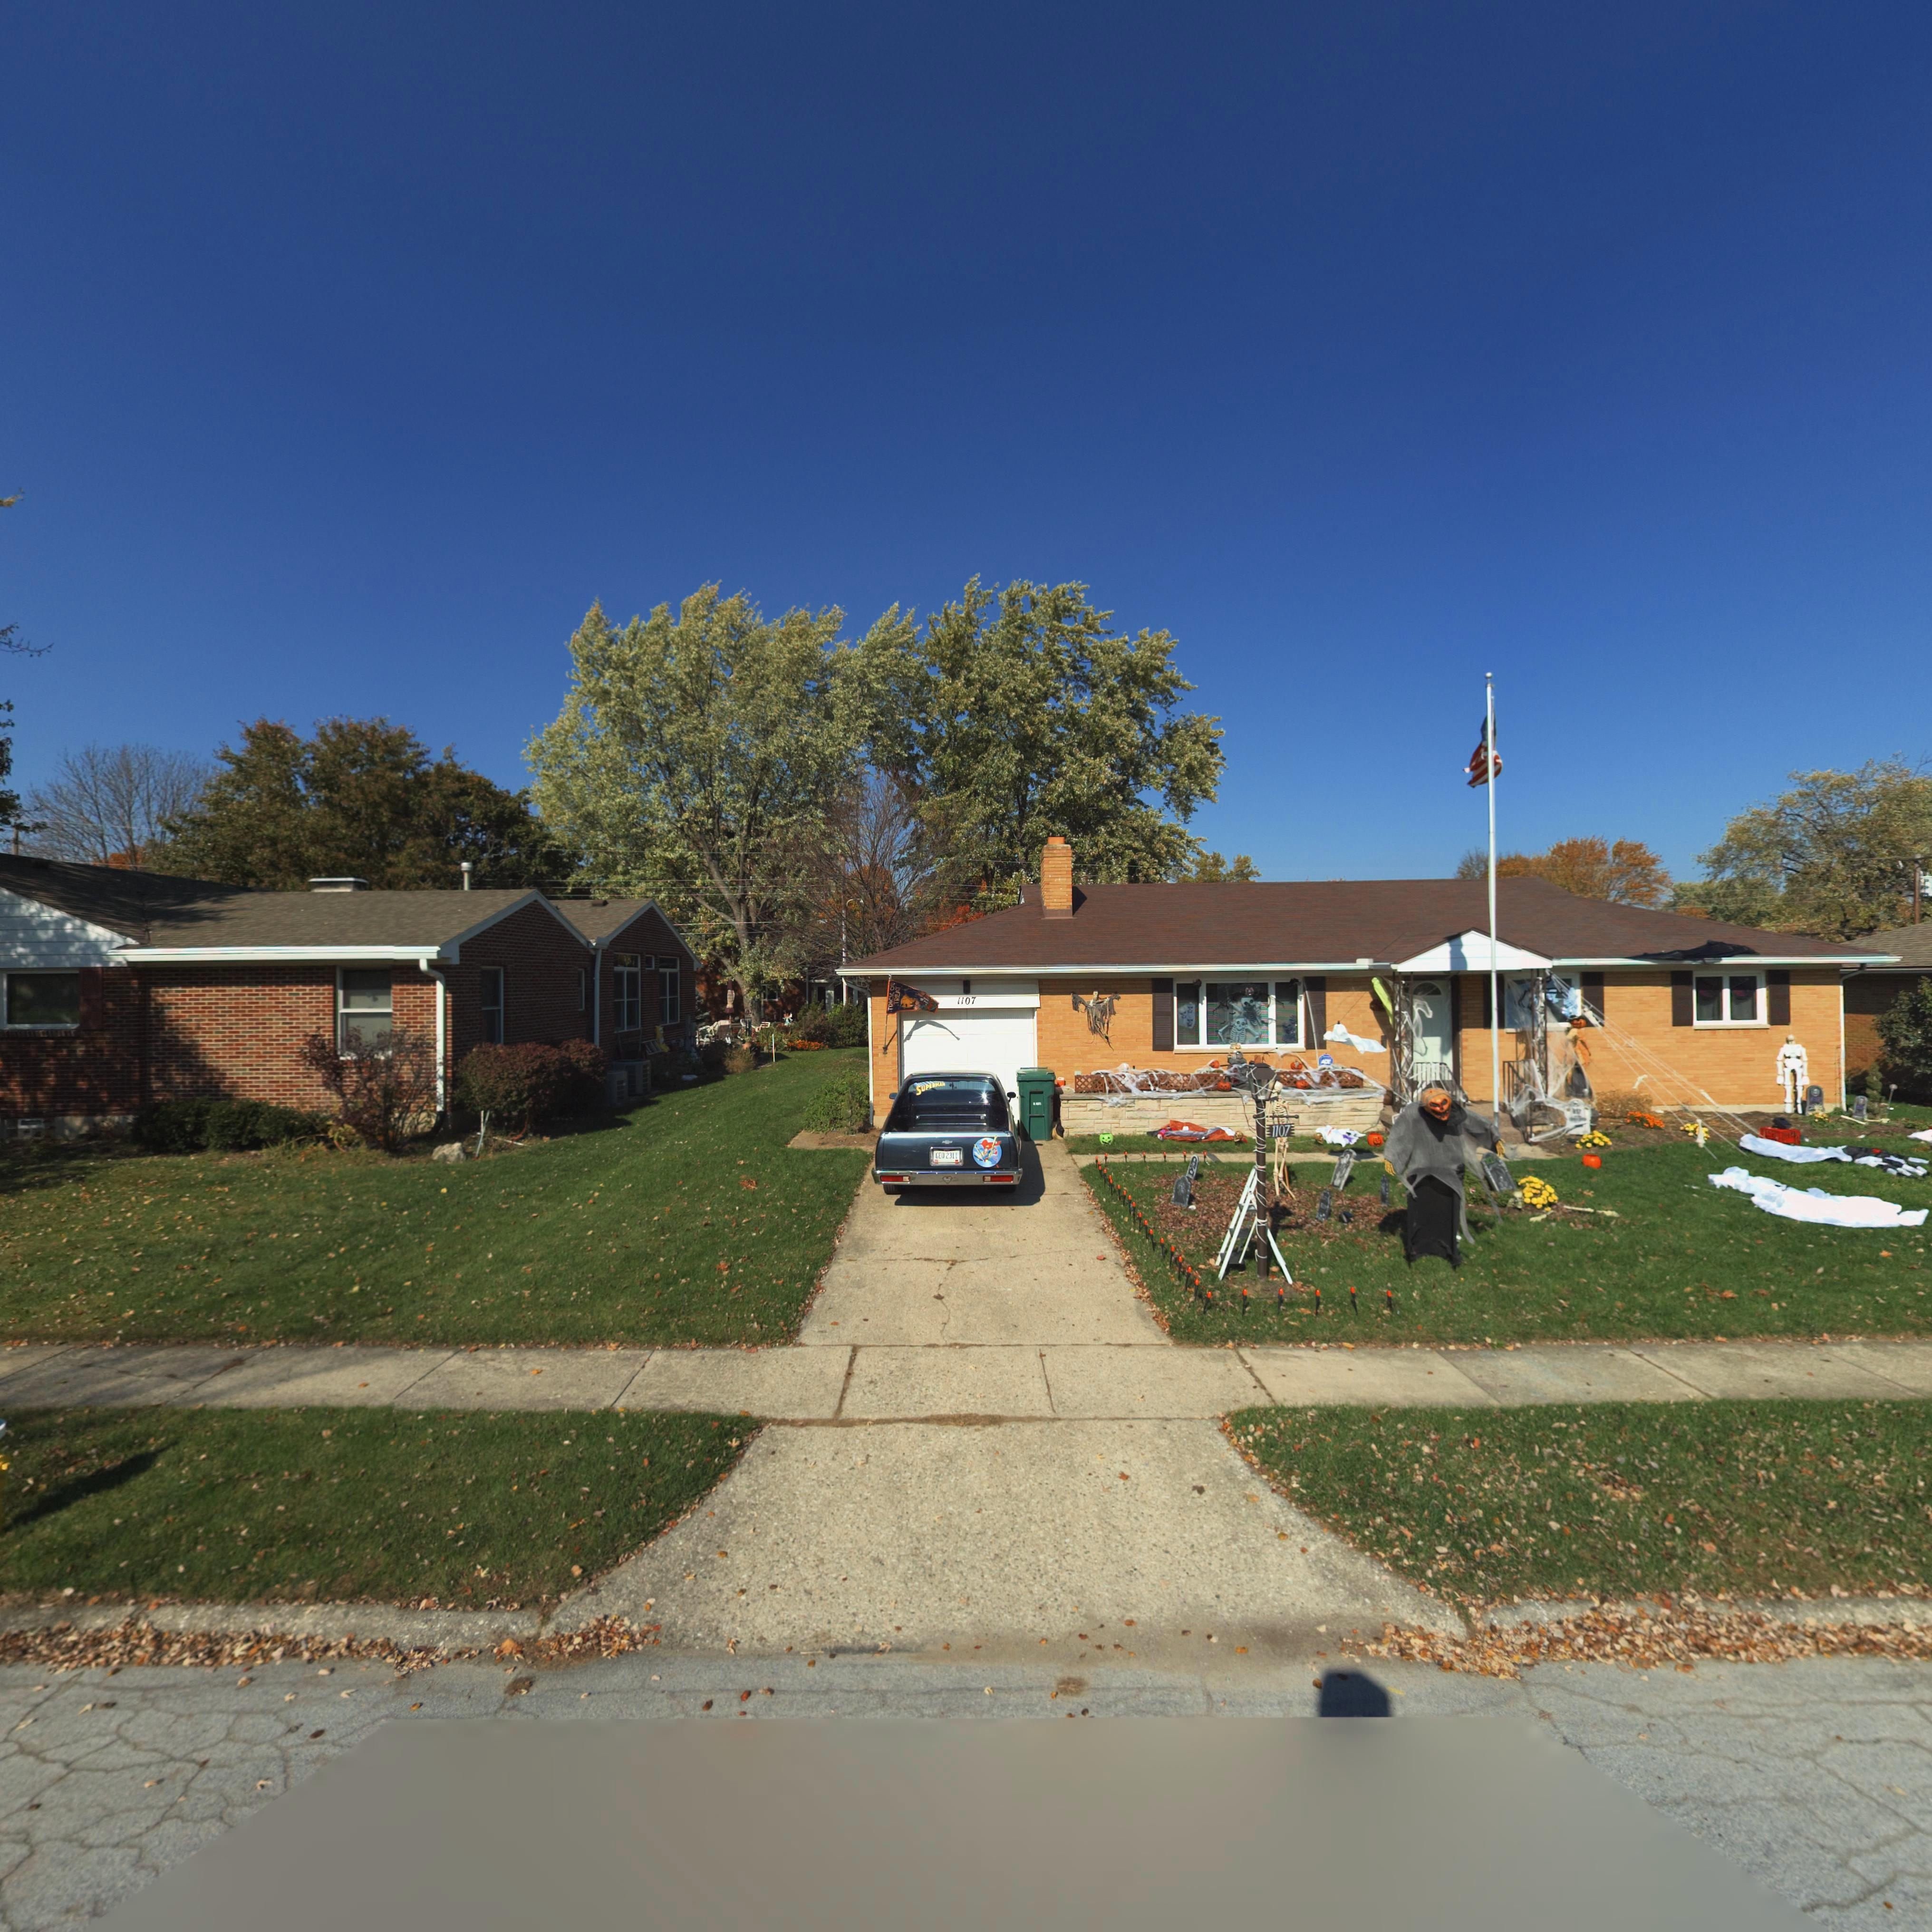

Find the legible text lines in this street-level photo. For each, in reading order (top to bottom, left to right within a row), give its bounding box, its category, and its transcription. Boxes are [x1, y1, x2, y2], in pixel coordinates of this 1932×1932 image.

[957, 996, 977, 1005] StreetNumber: 1107
[1319, 1059, 1332, 1064] None: ADT
[916, 1082, 946, 1096] None: SUPERMAN
[1271, 1124, 1292, 1137] StreetNumber: 1107
[935, 1151, 957, 1159] None: GEO2311